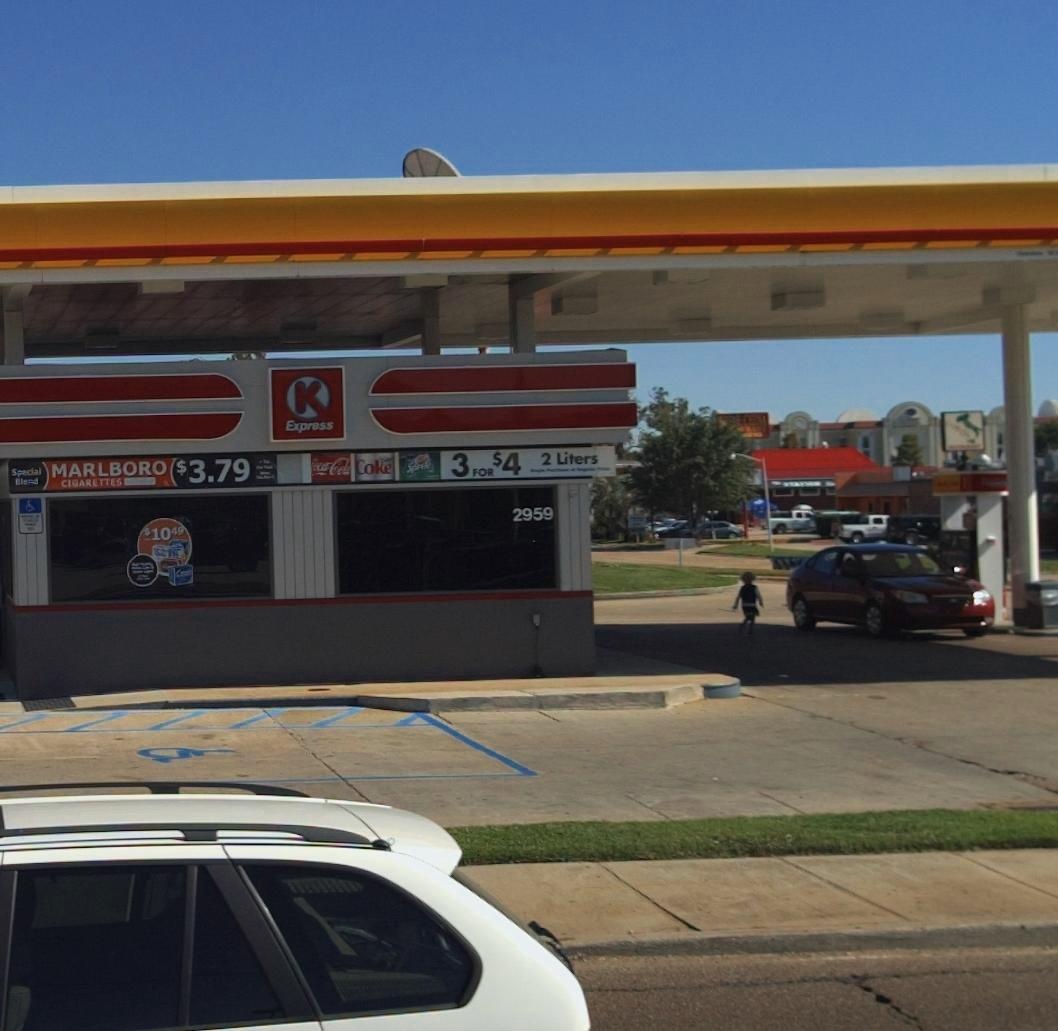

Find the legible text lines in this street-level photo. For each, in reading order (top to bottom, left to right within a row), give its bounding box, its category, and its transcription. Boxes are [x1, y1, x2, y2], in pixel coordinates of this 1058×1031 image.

[293, 378, 330, 417] BusinessName: K
[283, 417, 337, 435] BusinessName: Express
[9, 464, 44, 480] None: Special
[49, 457, 169, 480] None: MARLBORO
[187, 456, 253, 486] None: 3.79
[314, 455, 352, 477] None: ca-C*l*
[354, 457, 395, 478] None: Coke
[447, 449, 525, 479] None: 3 FOR $4
[539, 449, 601, 469] None: 2 Liters
[58, 475, 125, 491] None: CIGARETTES
[510, 504, 555, 525] StreetNumber: 2959
[149, 525, 174, 543] None: 10
[169, 524, 187, 538] None: 49